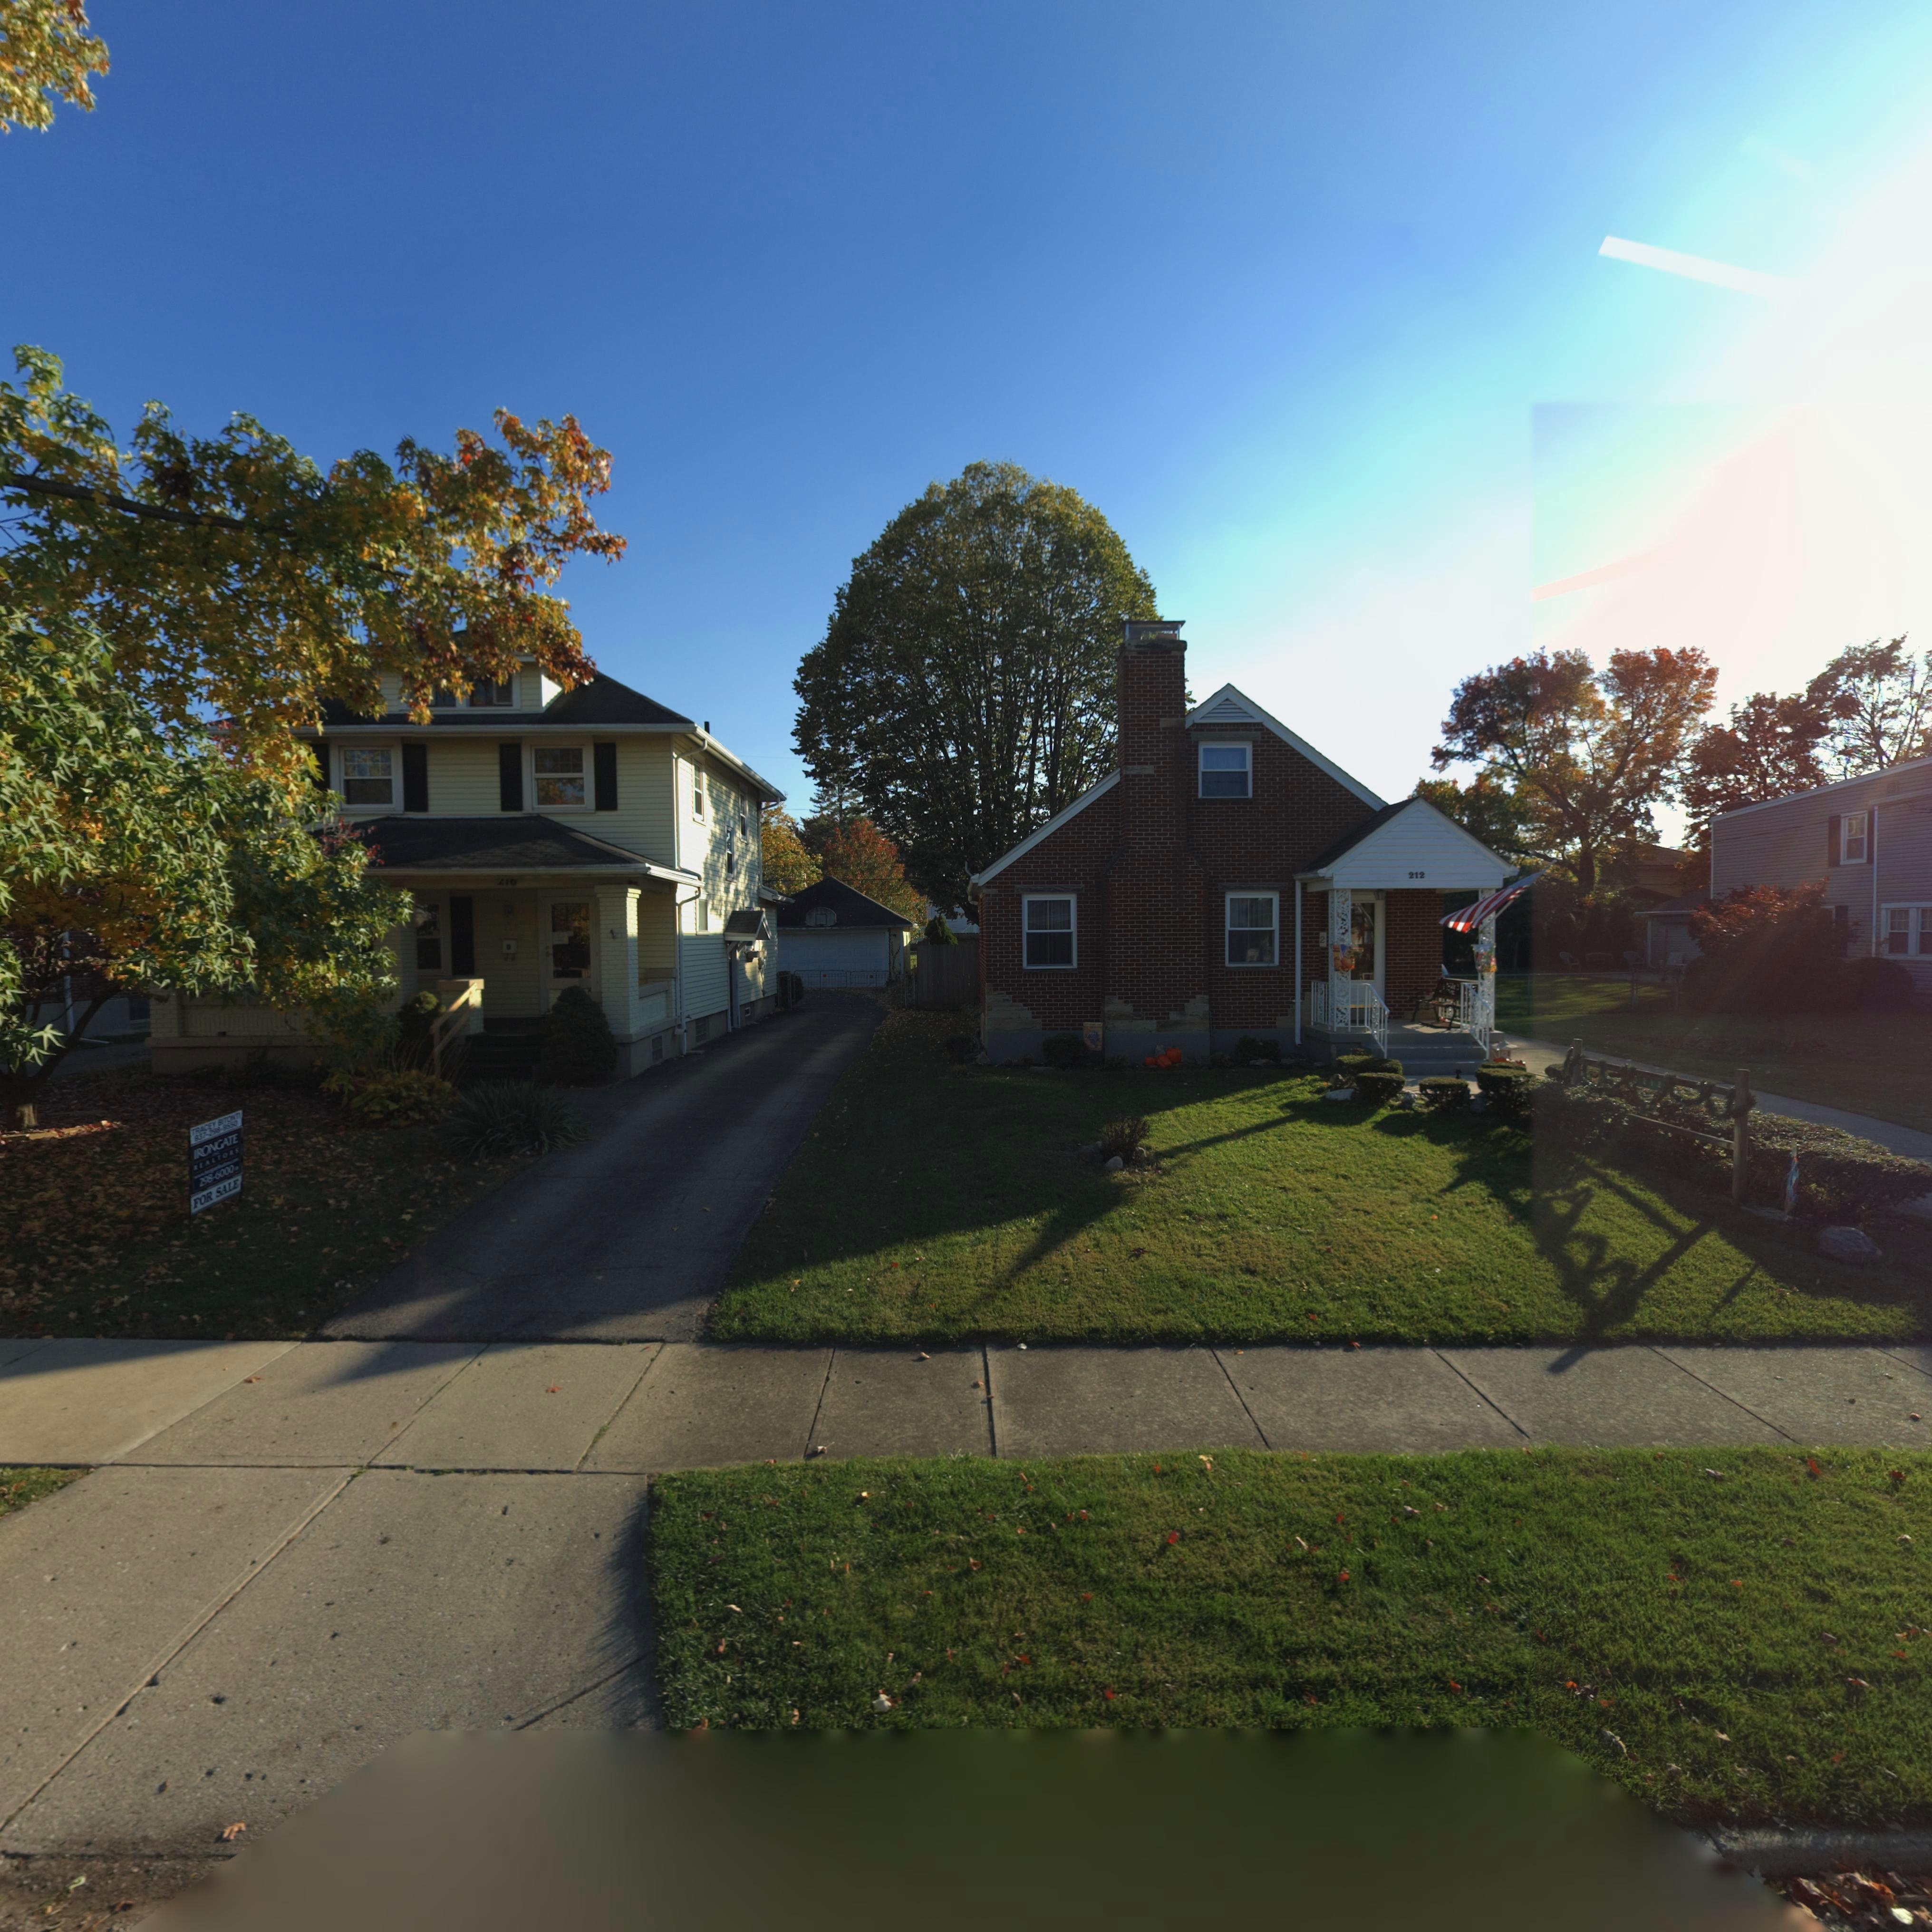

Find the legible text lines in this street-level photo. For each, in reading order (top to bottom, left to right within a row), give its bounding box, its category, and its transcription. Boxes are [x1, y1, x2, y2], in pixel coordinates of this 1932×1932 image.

[1408, 871, 1425, 879] StreetNumber: 212
[496, 877, 518, 886] StreetNumber: *10
[1319, 935, 1326, 944] StreetNumber: 2